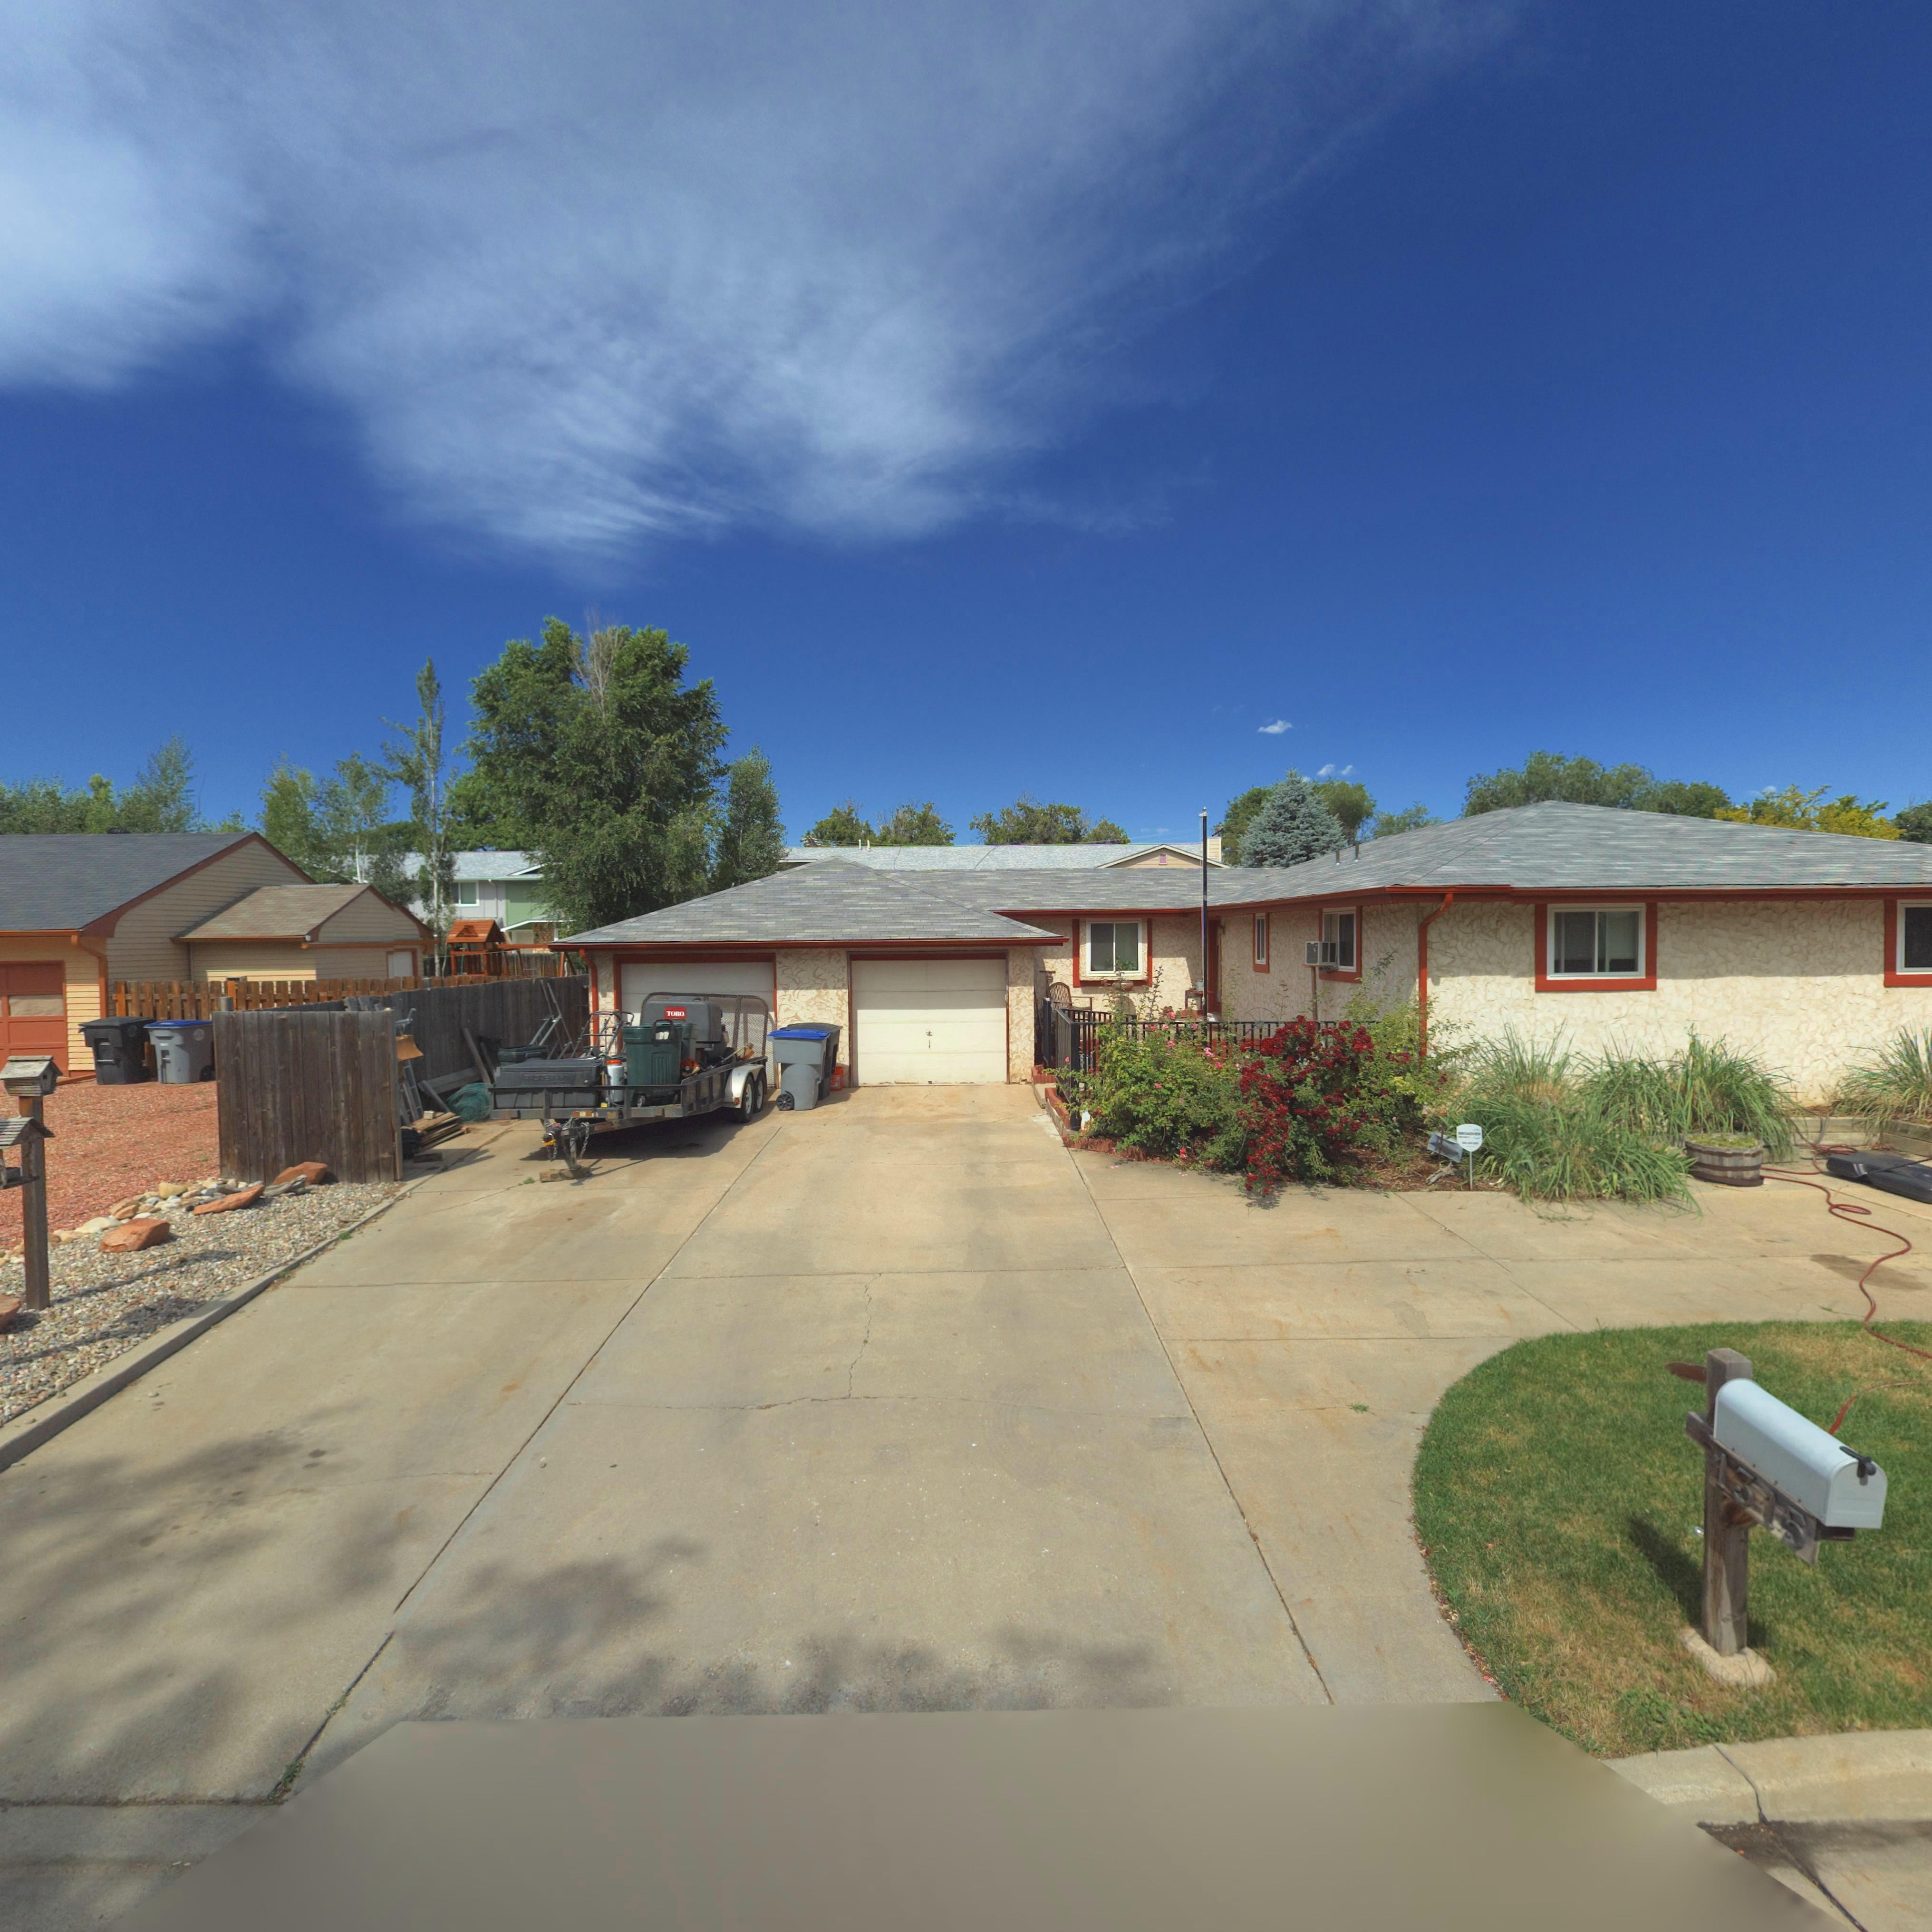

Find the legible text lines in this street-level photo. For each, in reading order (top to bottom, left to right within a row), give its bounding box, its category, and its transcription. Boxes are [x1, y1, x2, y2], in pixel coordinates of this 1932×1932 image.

[1712, 1450, 1807, 1552] StreetNumber: 1315